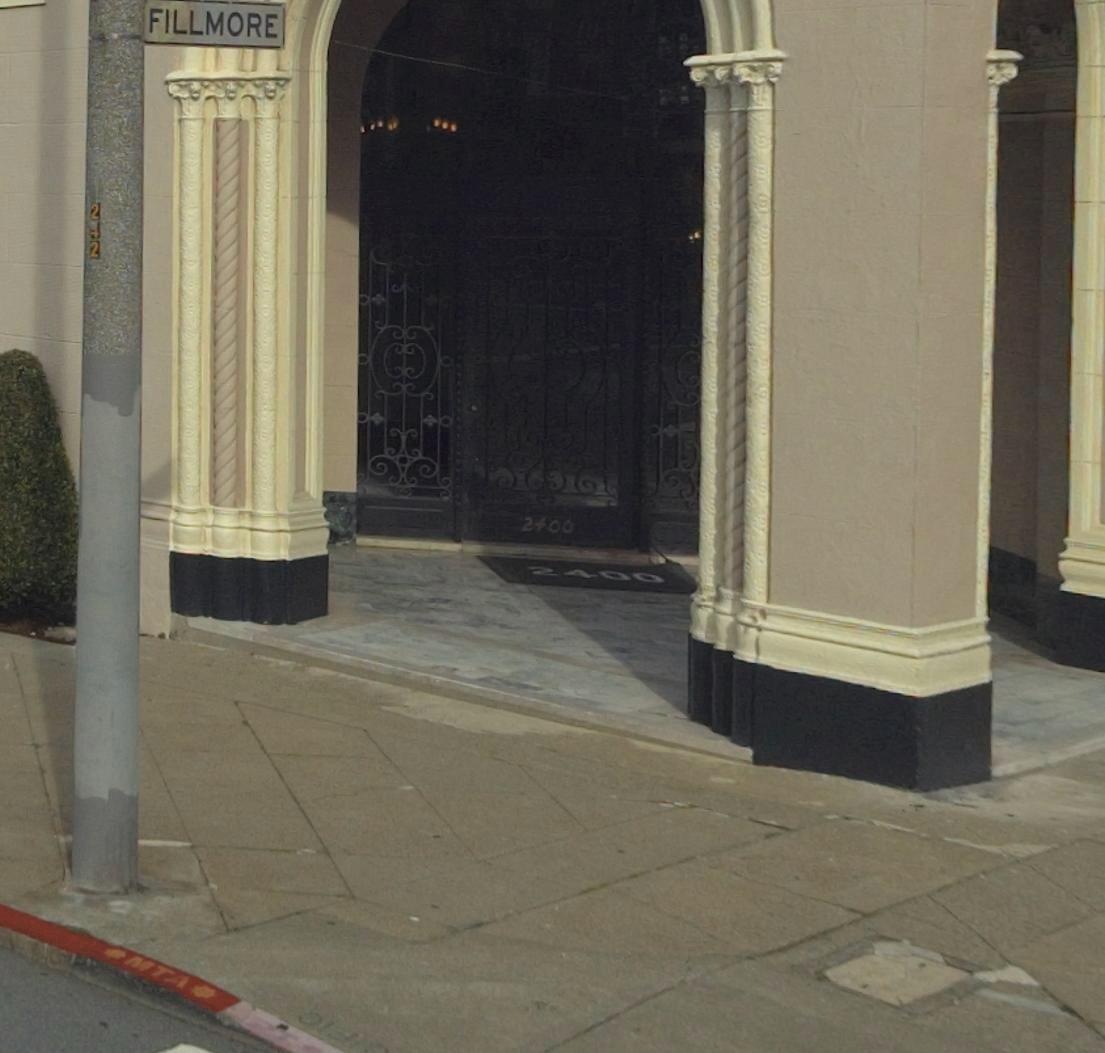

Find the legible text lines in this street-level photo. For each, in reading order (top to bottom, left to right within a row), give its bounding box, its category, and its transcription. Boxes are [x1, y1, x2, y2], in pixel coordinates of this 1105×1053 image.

[145, 5, 282, 41] StreetName: FILLMORE
[88, 200, 101, 260] None: 242
[518, 513, 578, 539] StreetNumber: 2400
[521, 562, 669, 586] StreetNumber: 2400
[119, 950, 192, 994] None: MTA